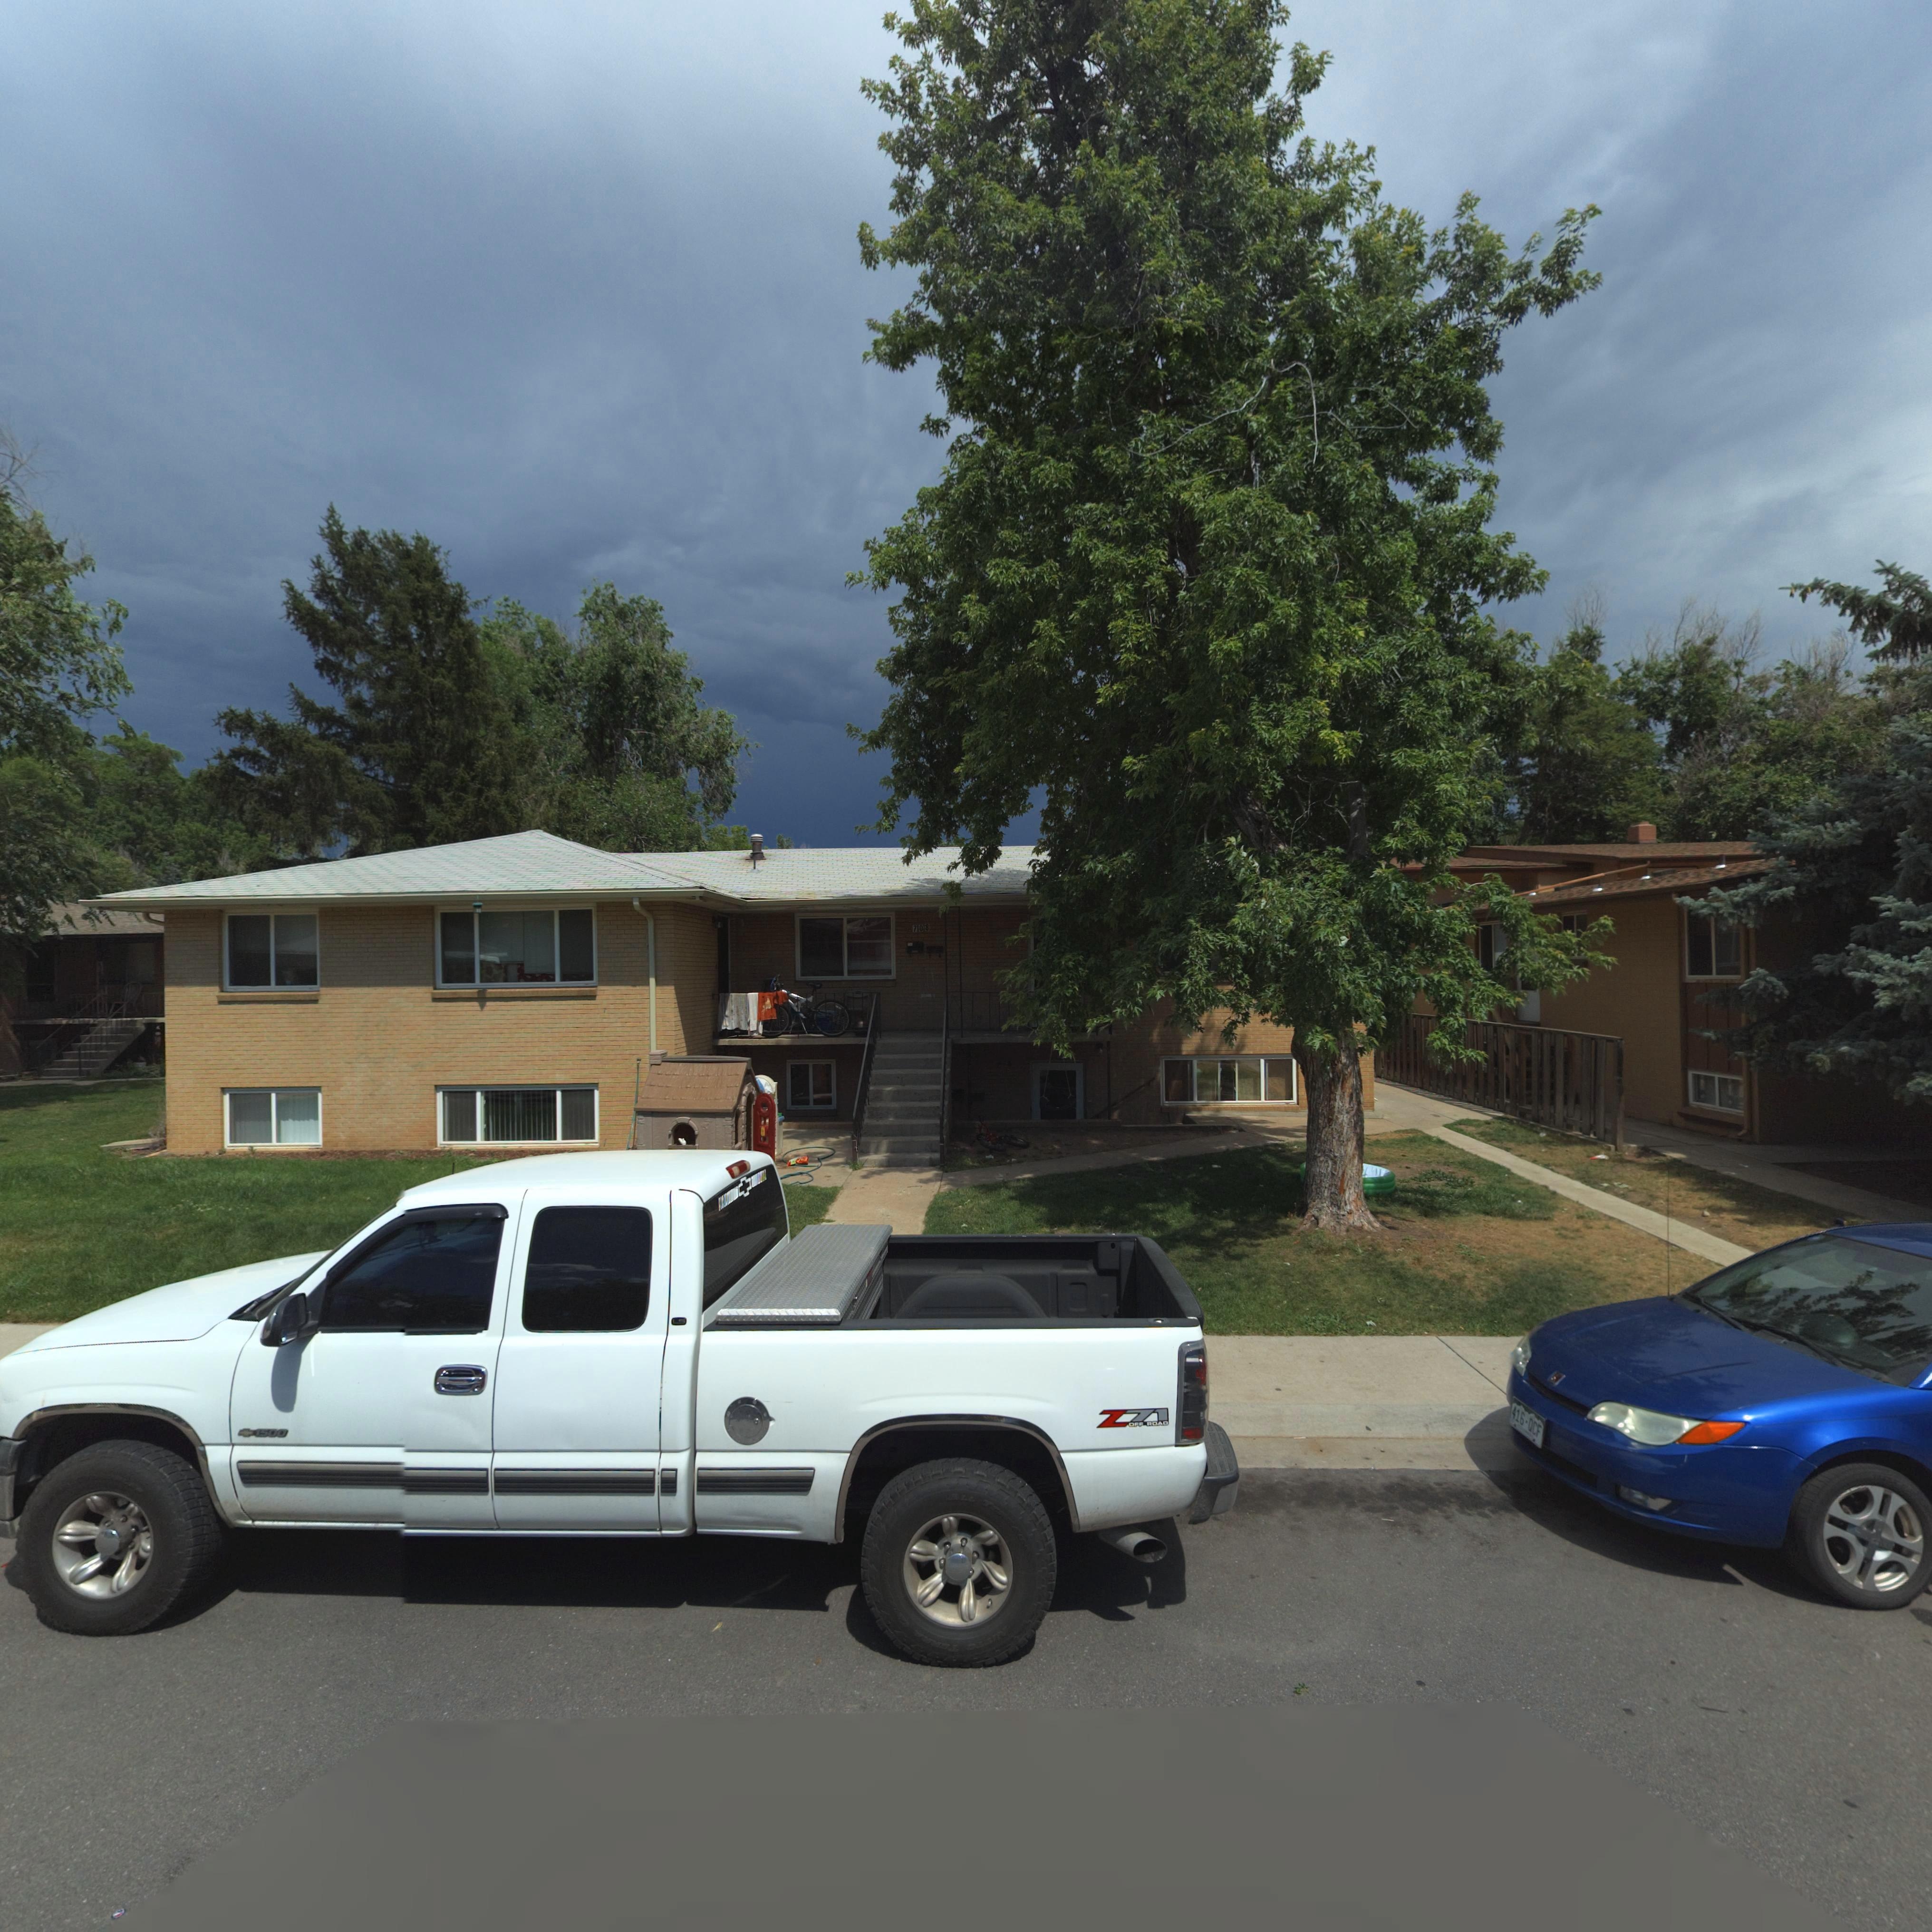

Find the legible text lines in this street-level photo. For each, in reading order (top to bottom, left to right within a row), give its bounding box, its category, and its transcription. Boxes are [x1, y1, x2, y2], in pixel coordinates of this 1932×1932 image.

[912, 923, 929, 933] StreetNumber: 708